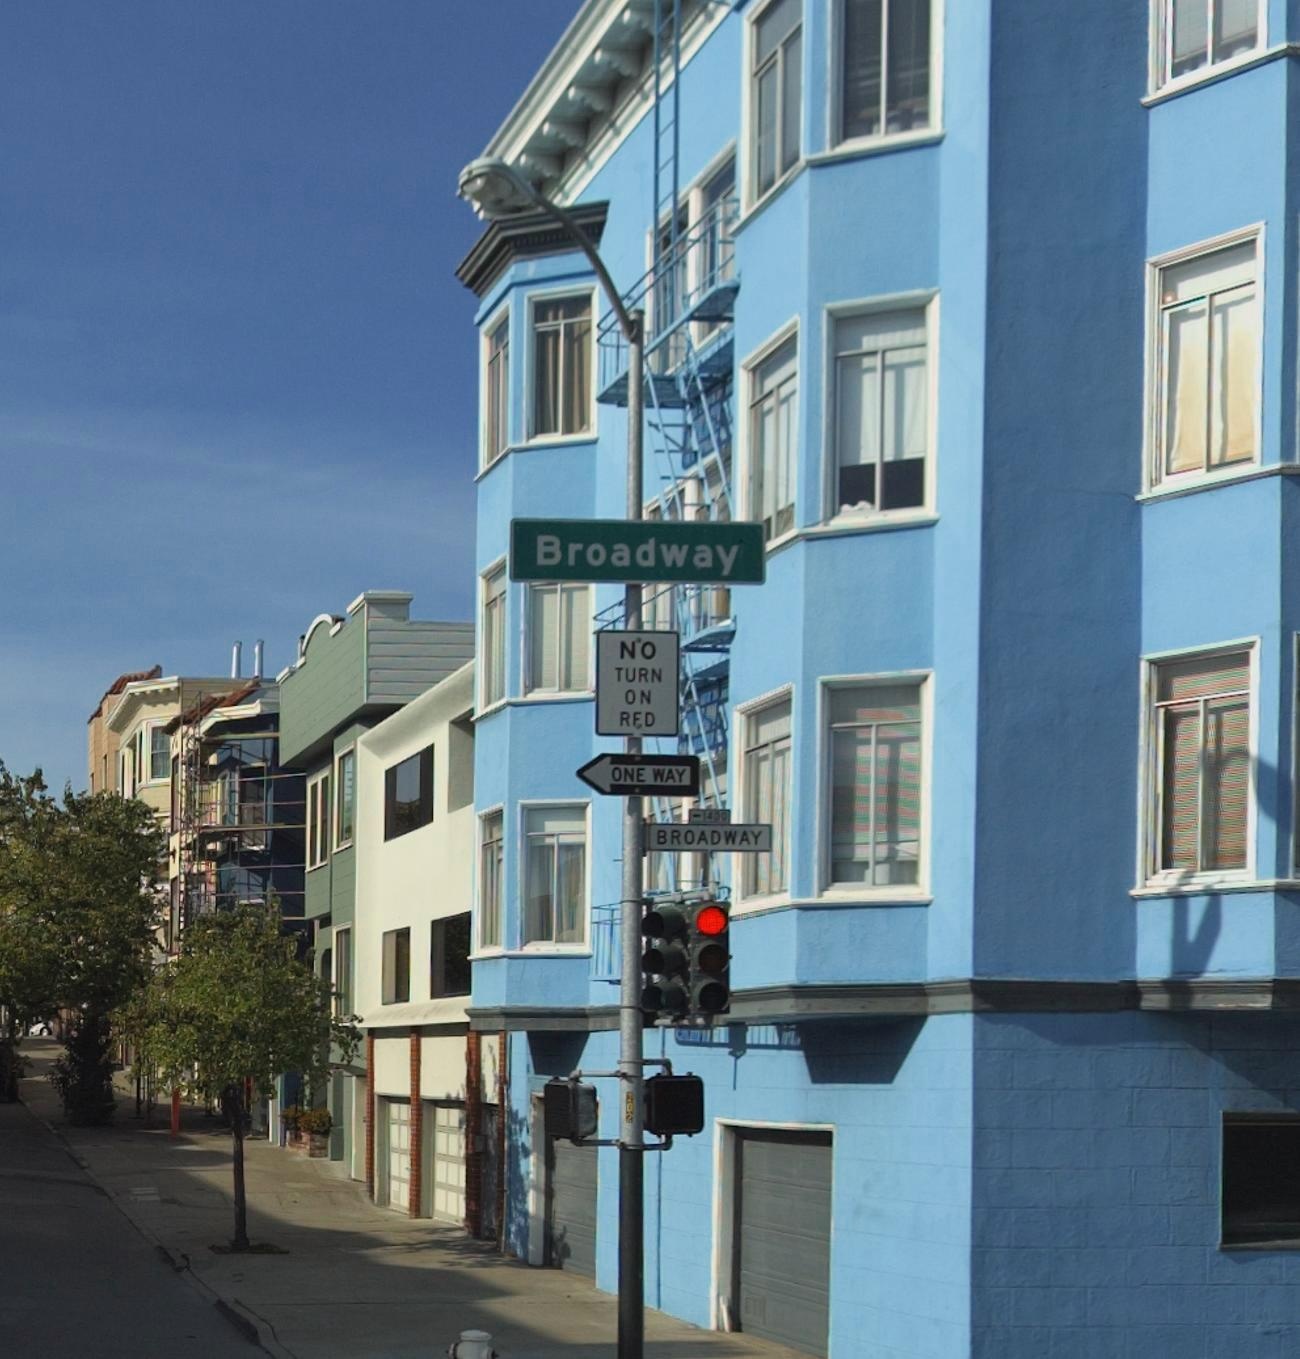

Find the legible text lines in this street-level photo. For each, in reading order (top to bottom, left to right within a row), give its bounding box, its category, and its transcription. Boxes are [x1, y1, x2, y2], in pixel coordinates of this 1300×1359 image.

[532, 531, 742, 579] StreetName: Broadway
[616, 637, 659, 663] None: NO
[611, 664, 665, 685] None: TURN
[622, 686, 654, 707] None: ON
[616, 708, 658, 730] None: RED
[609, 765, 689, 785] None: ONE WAY
[688, 808, 731, 824] StreetNumberRange: <-1400
[654, 827, 766, 848] StreetName: BROADWAY
[625, 1089, 635, 1125] None: 202